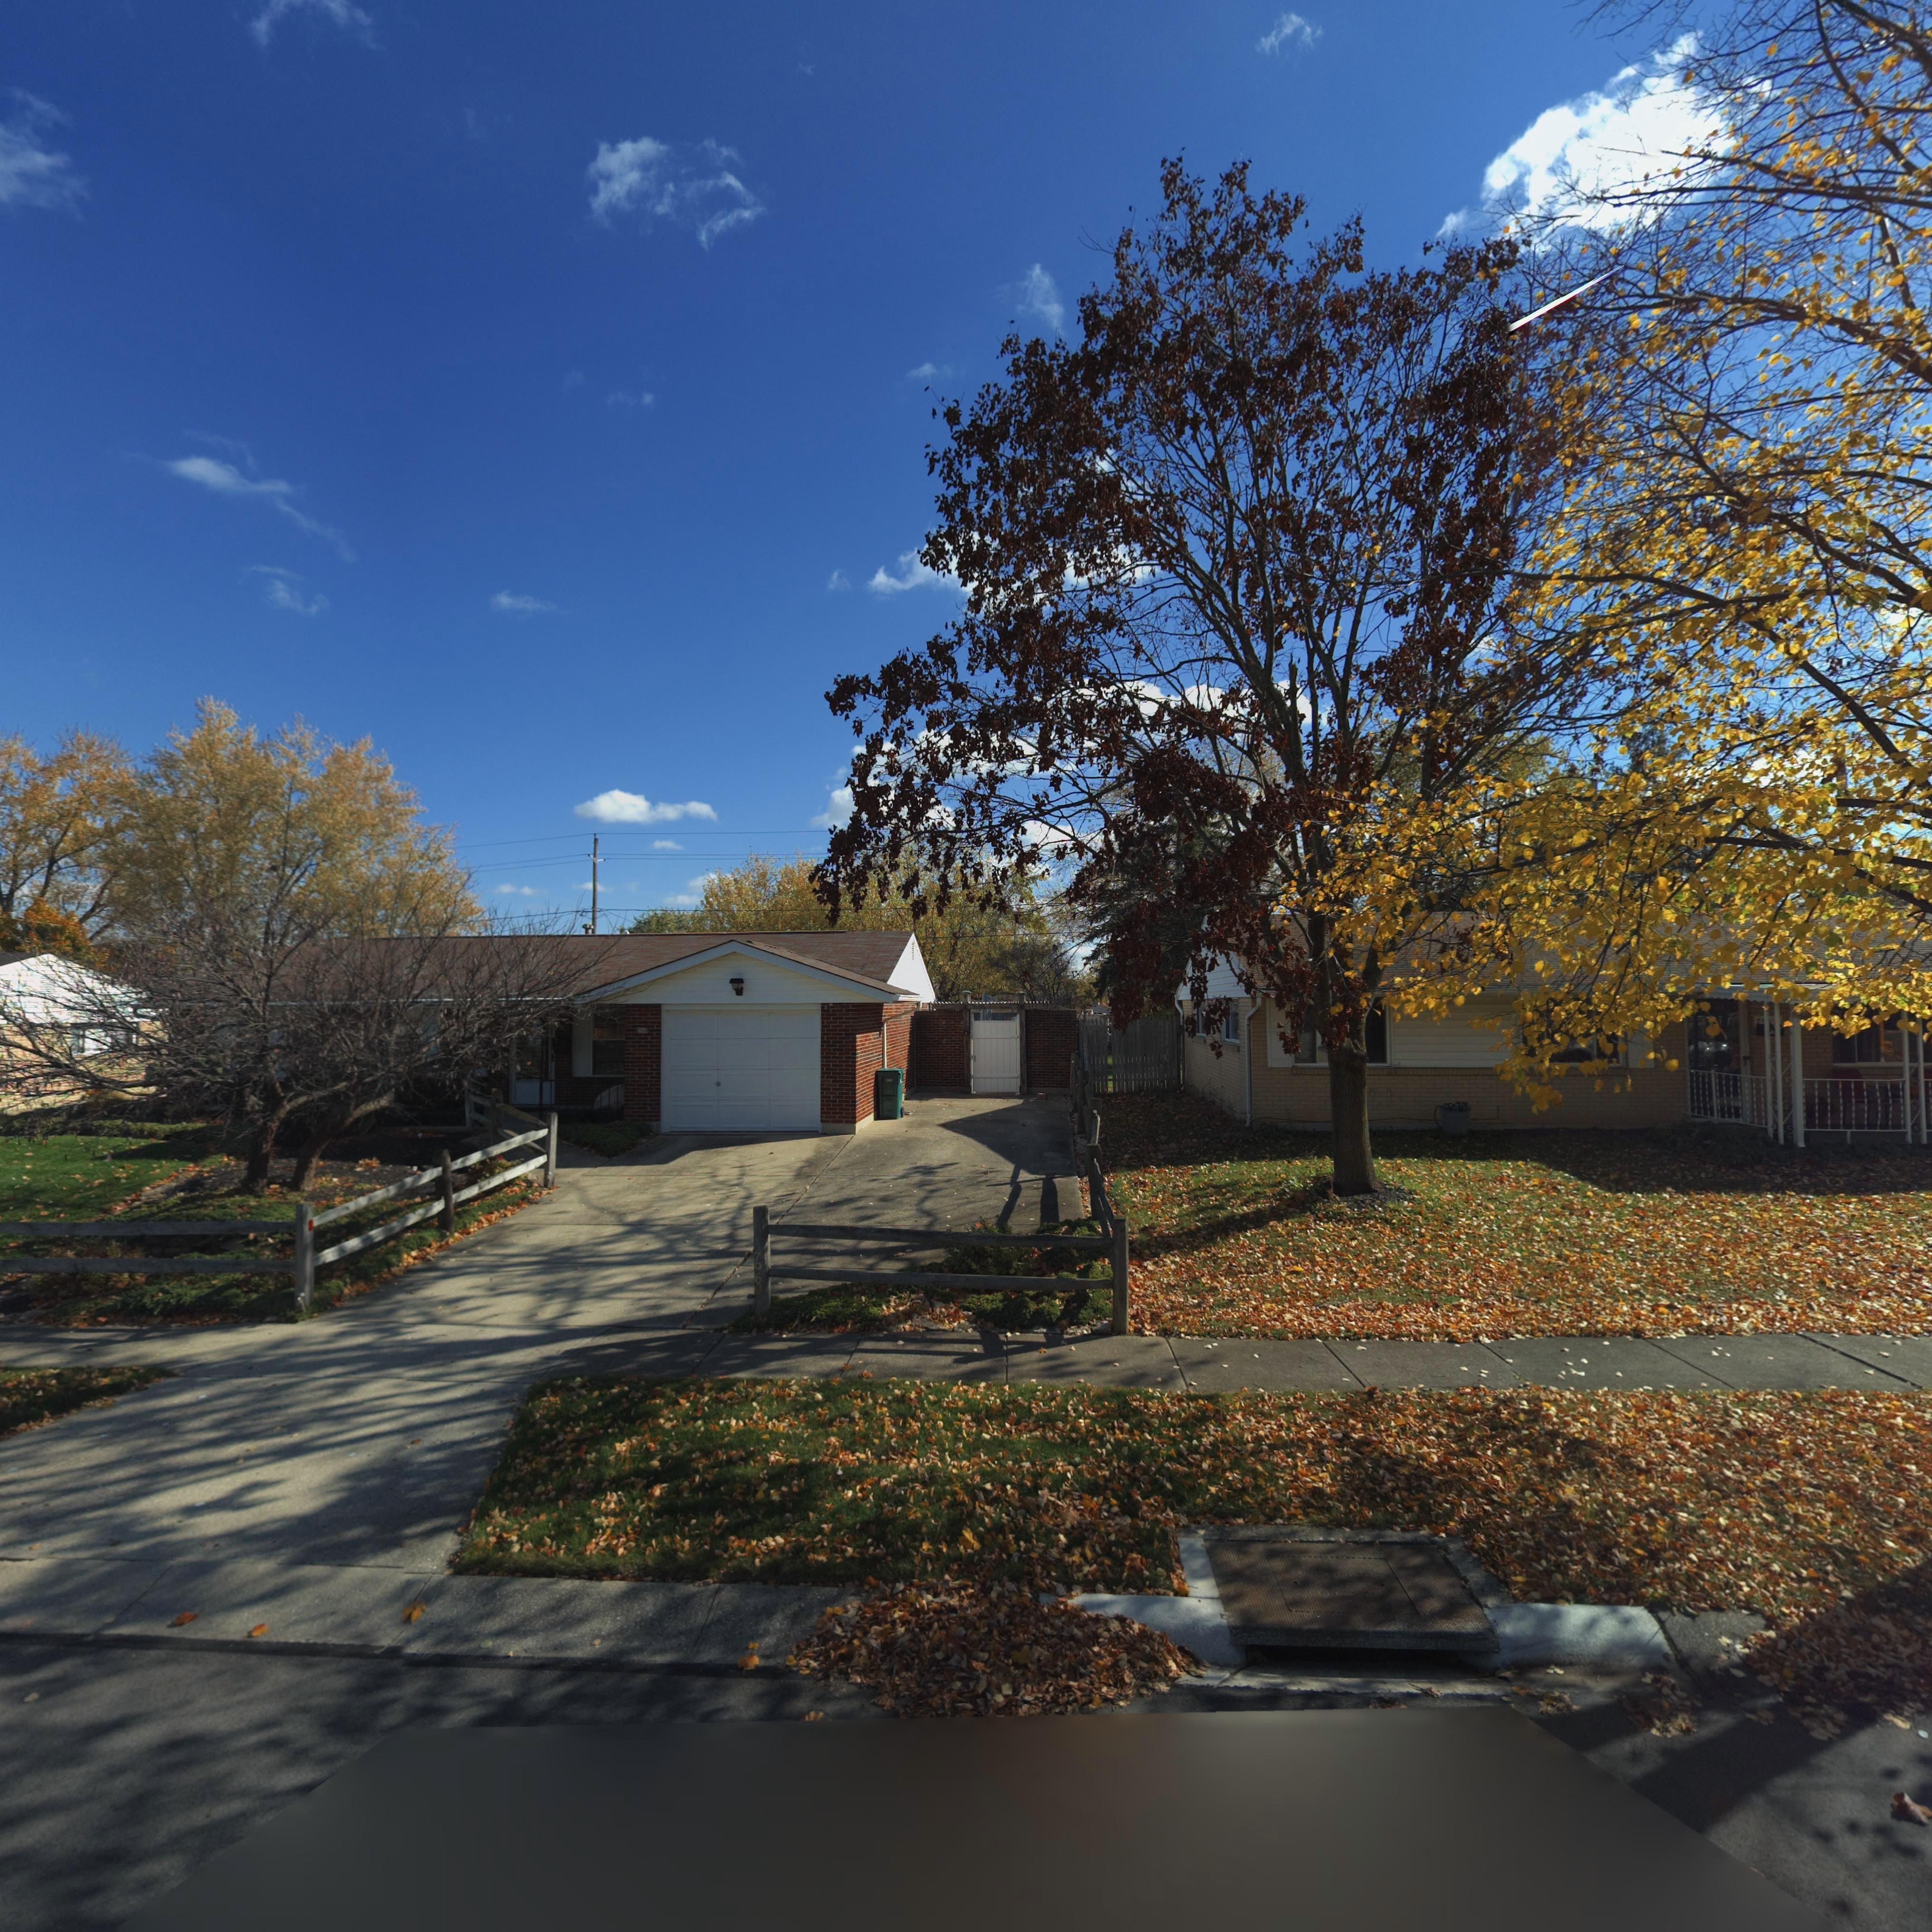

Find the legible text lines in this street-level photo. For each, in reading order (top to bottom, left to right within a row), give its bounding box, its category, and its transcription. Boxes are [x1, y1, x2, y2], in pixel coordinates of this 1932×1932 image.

[1755, 1016, 1762, 1026] StreetNumber: 7